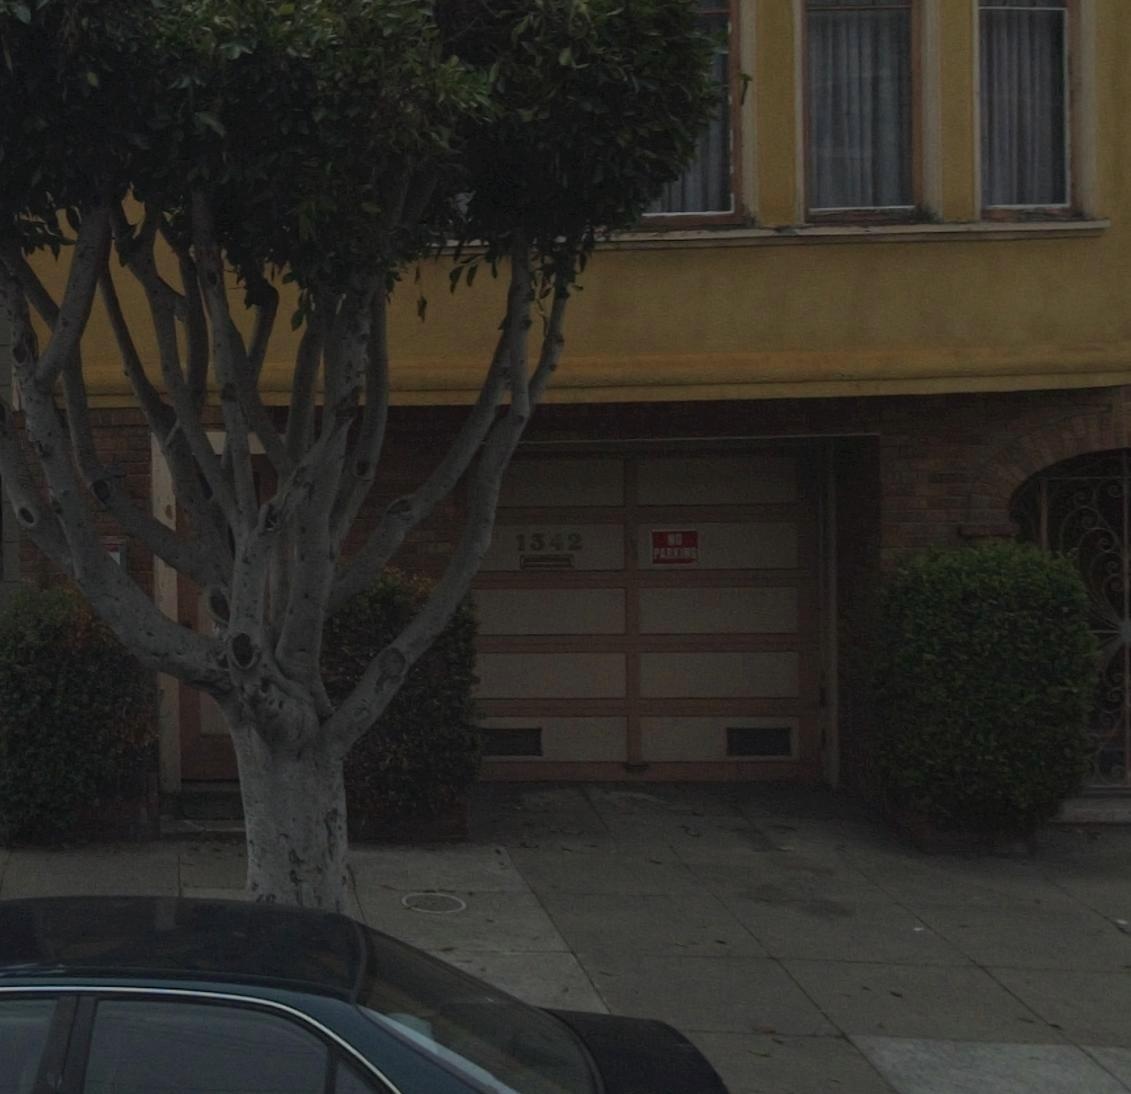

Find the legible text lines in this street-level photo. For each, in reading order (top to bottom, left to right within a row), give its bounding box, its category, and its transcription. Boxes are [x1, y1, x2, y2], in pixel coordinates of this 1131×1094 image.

[514, 532, 585, 552] StreetNumber: 1342
[666, 533, 682, 545] None: NO
[653, 547, 697, 559] None: PARKING